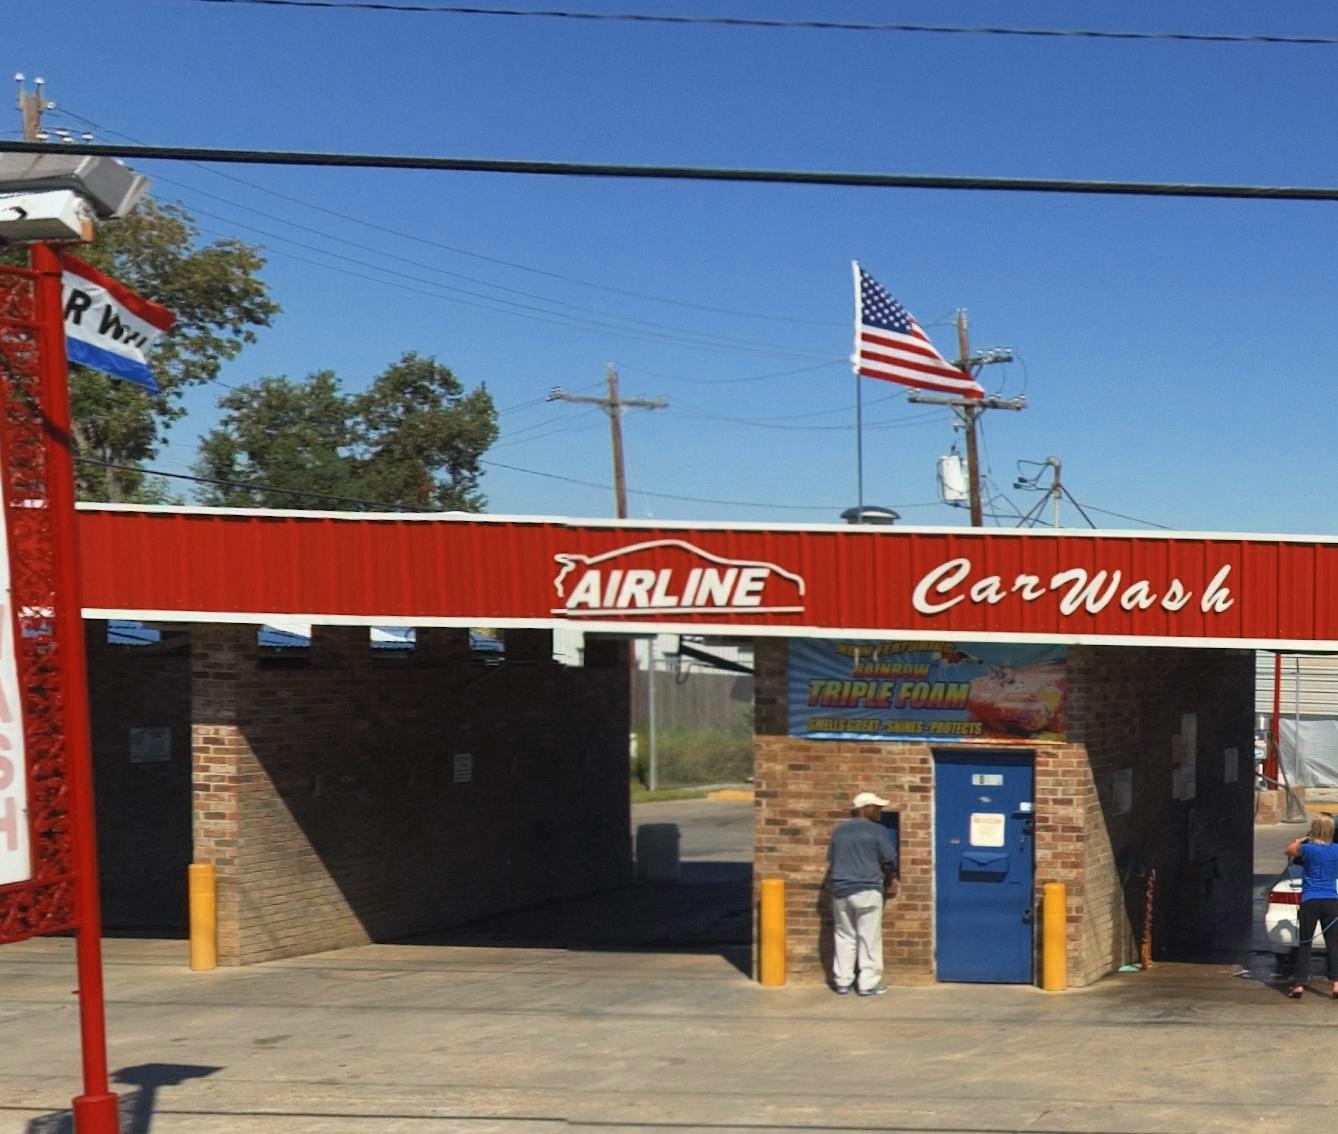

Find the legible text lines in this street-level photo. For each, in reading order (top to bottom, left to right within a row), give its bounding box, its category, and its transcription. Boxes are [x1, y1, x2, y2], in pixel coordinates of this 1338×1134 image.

[61, 285, 95, 329] None: R
[559, 563, 778, 612] BusinessName: AIRLINE
[906, 552, 1240, 622] BusinessName: CarWash
[879, 641, 911, 658] None: EAT
[849, 660, 935, 683] None: RAINBOW
[804, 676, 976, 712] None: TRIPLE FOAM
[806, 716, 985, 737] None: S**LLS G****-S****S-PROTECTS